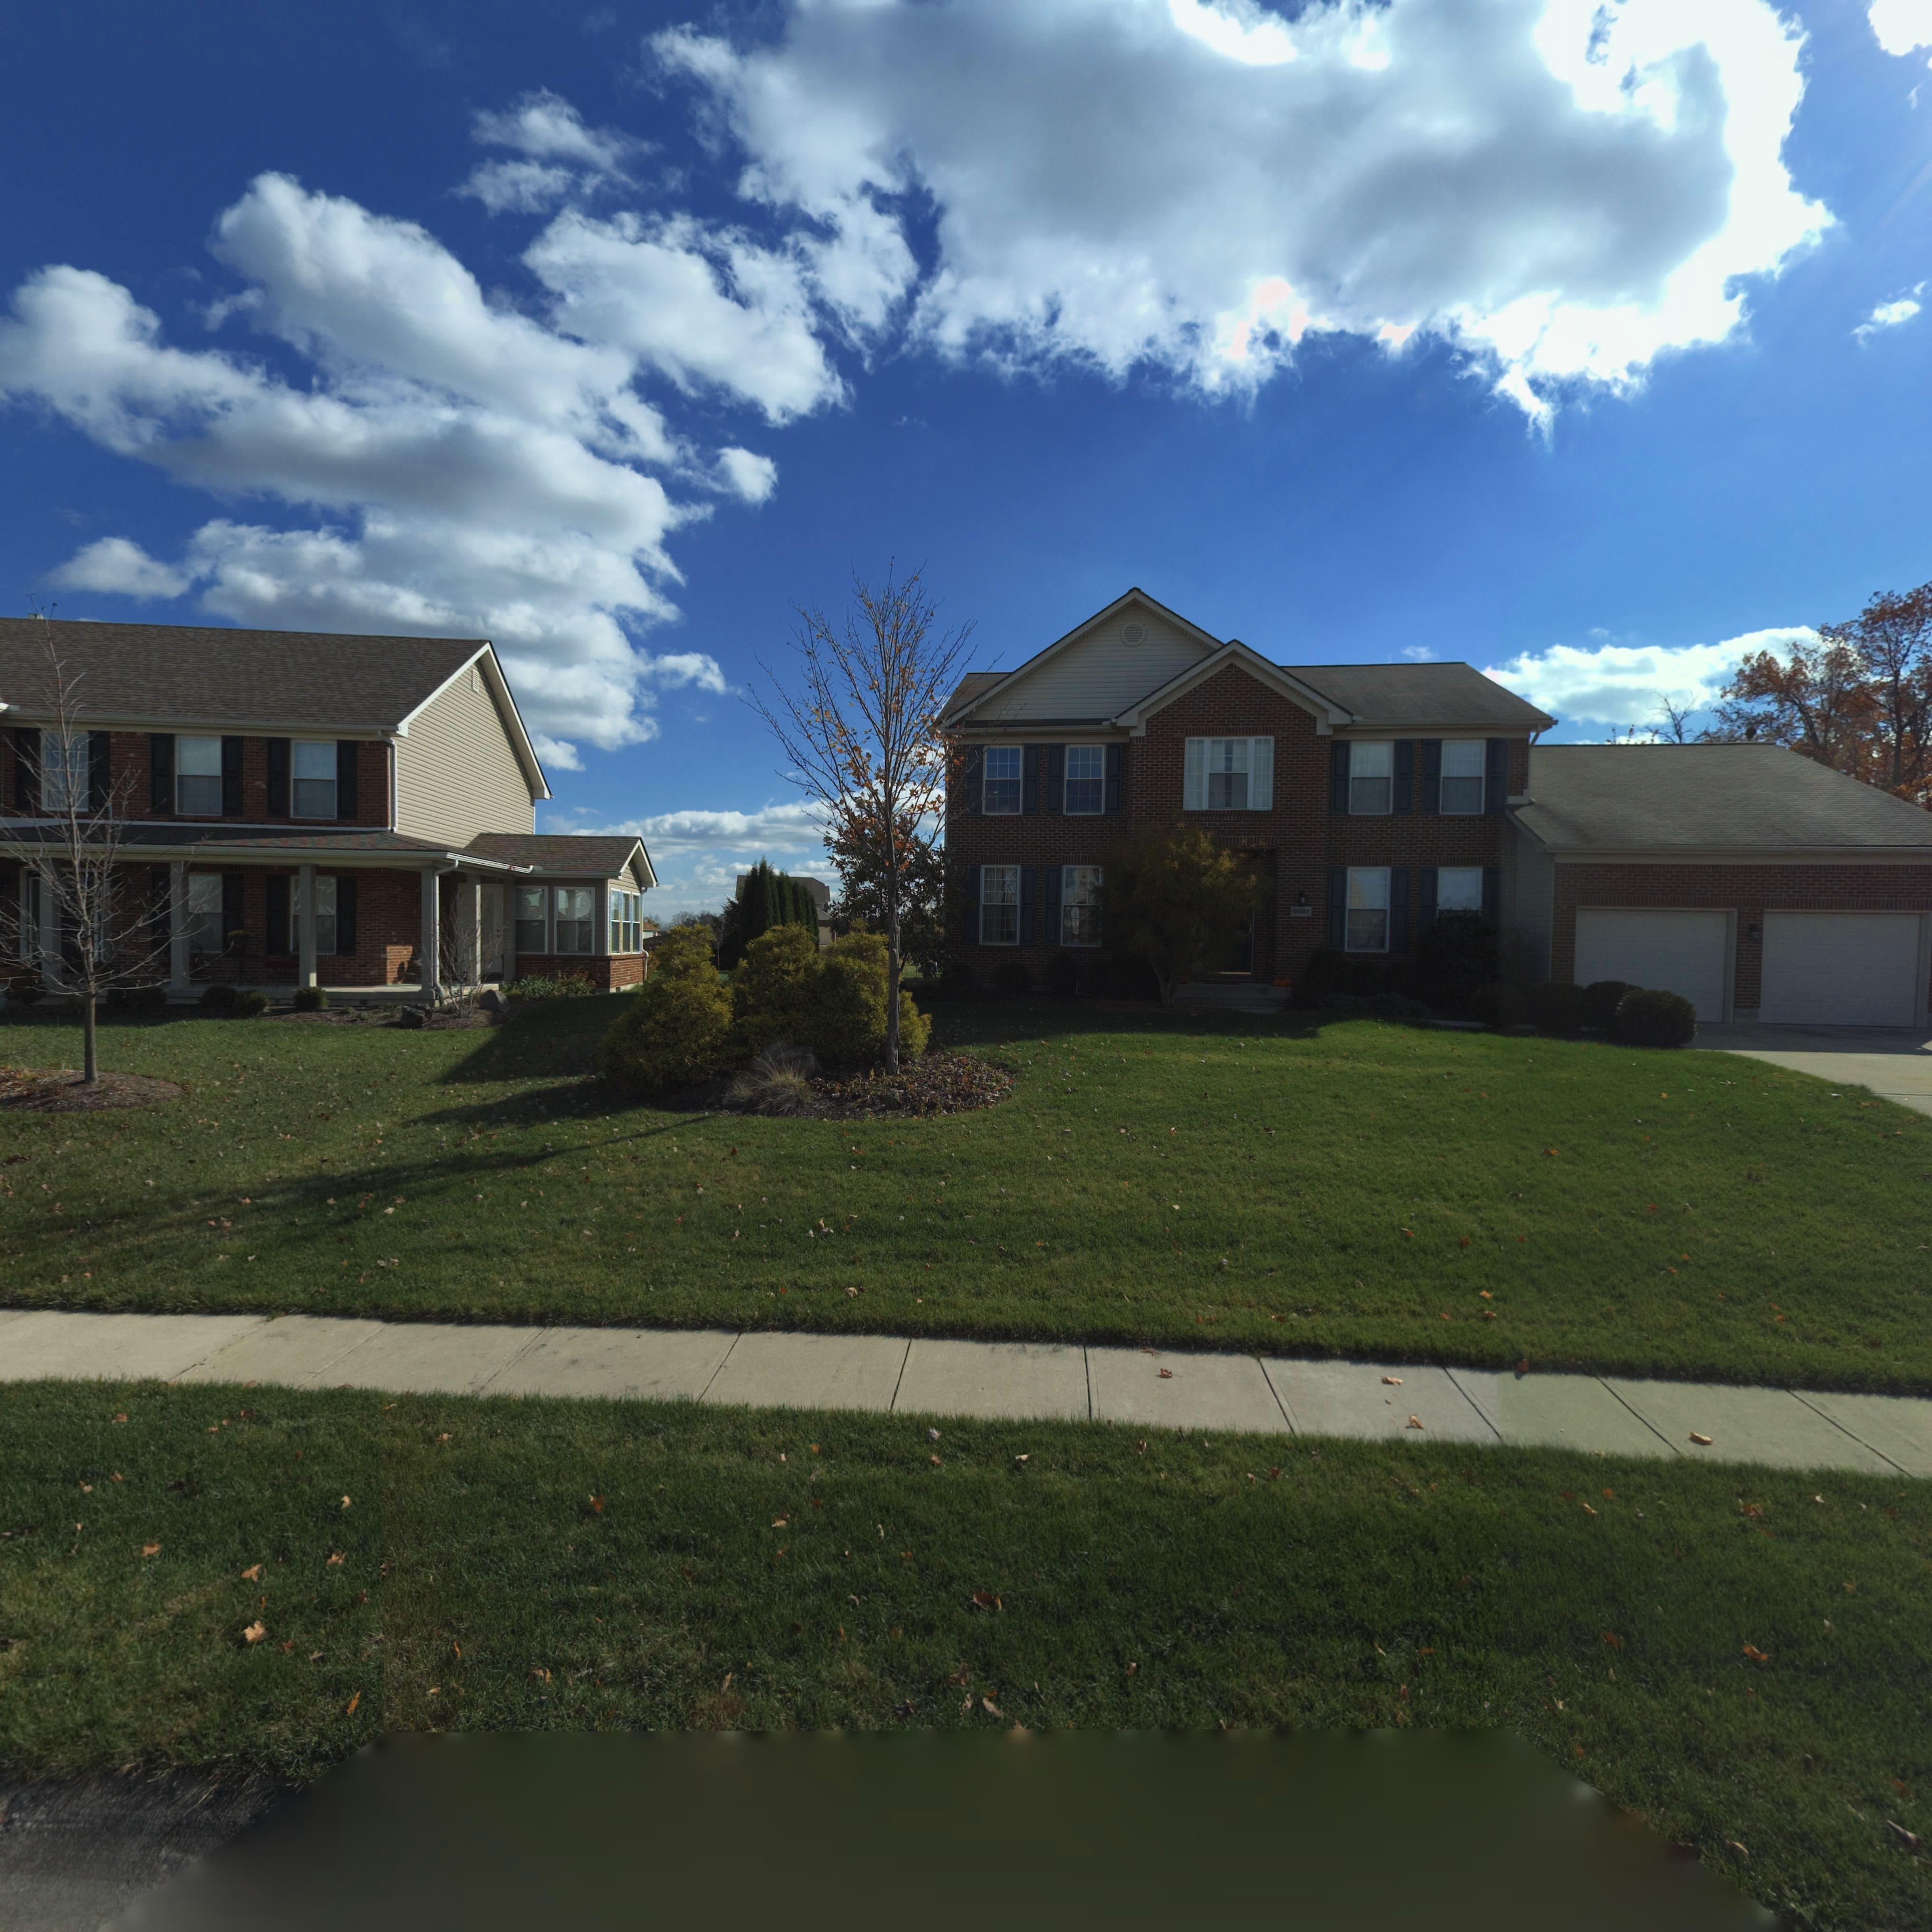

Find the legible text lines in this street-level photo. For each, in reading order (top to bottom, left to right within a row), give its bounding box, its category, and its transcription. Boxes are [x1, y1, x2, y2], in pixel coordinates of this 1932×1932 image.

[1292, 908, 1310, 915] StreetNumber: 6692